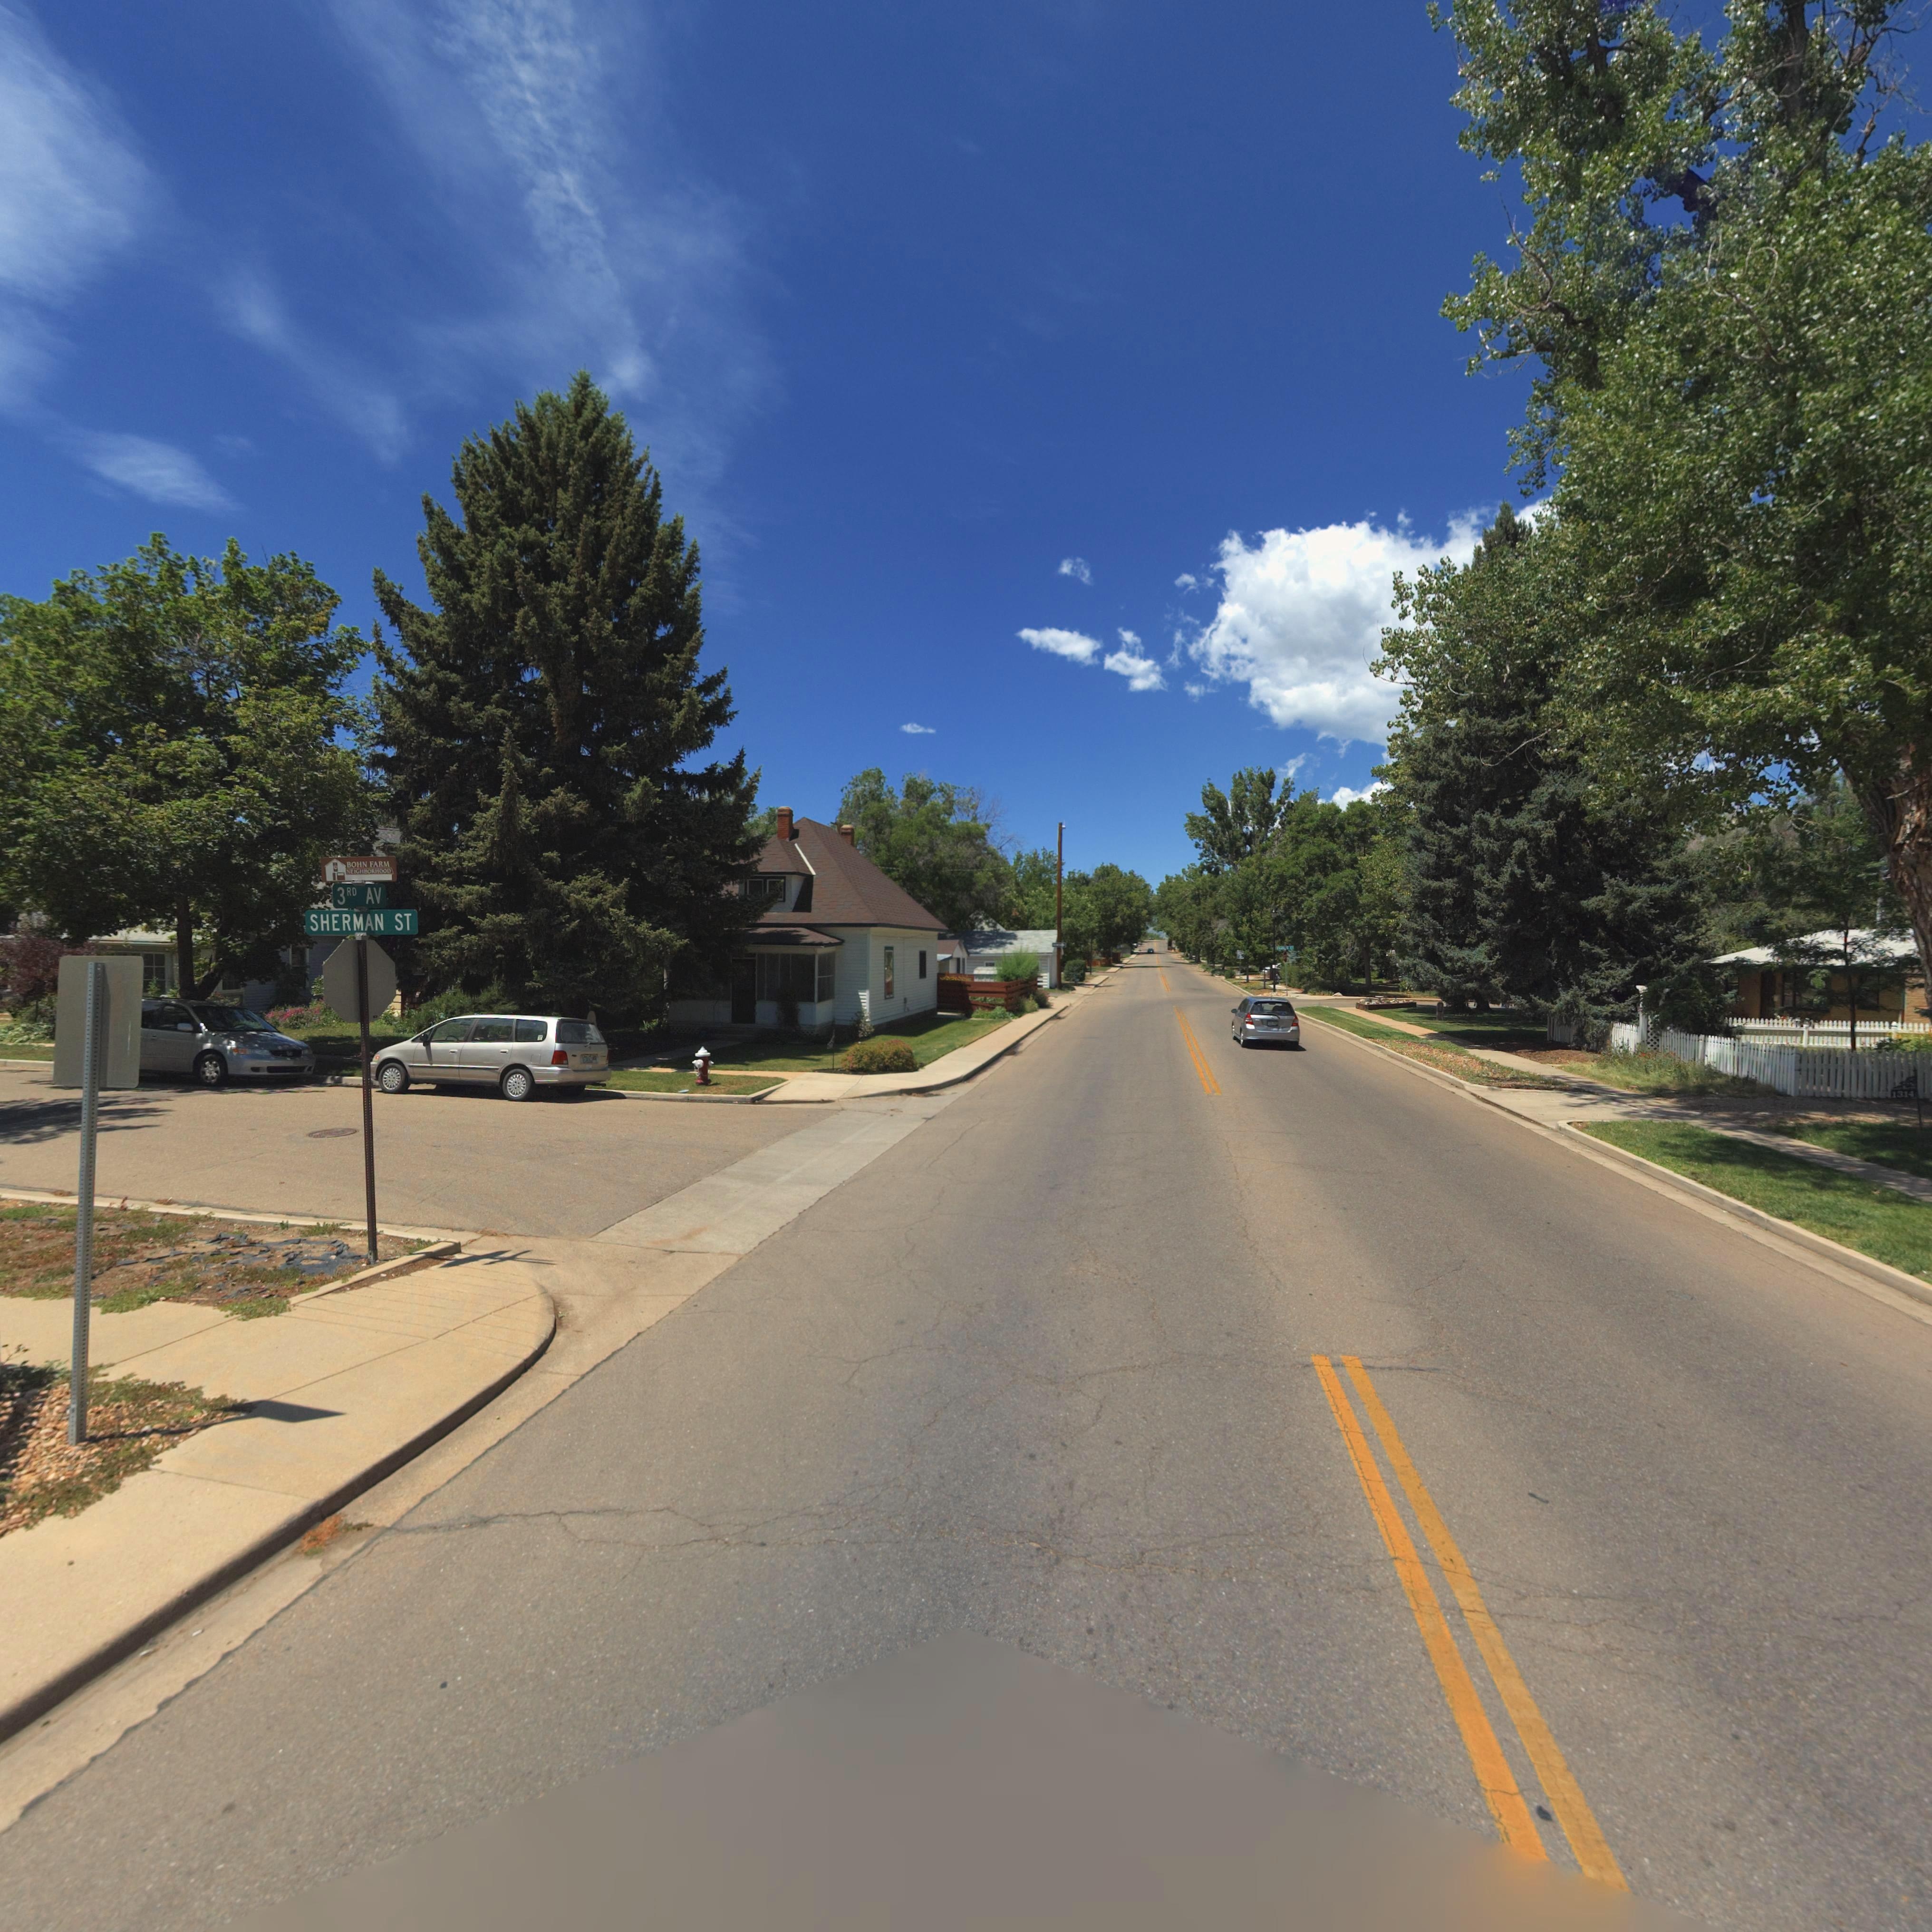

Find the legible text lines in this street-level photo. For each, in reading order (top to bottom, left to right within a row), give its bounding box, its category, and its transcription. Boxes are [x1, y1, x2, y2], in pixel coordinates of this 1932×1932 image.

[337, 886, 382, 905] StreetName: 3RD AV
[309, 913, 412, 931] StreetName: SHERMAN ST
[1892, 1090, 1913, 1098] StreetNumber: 1314